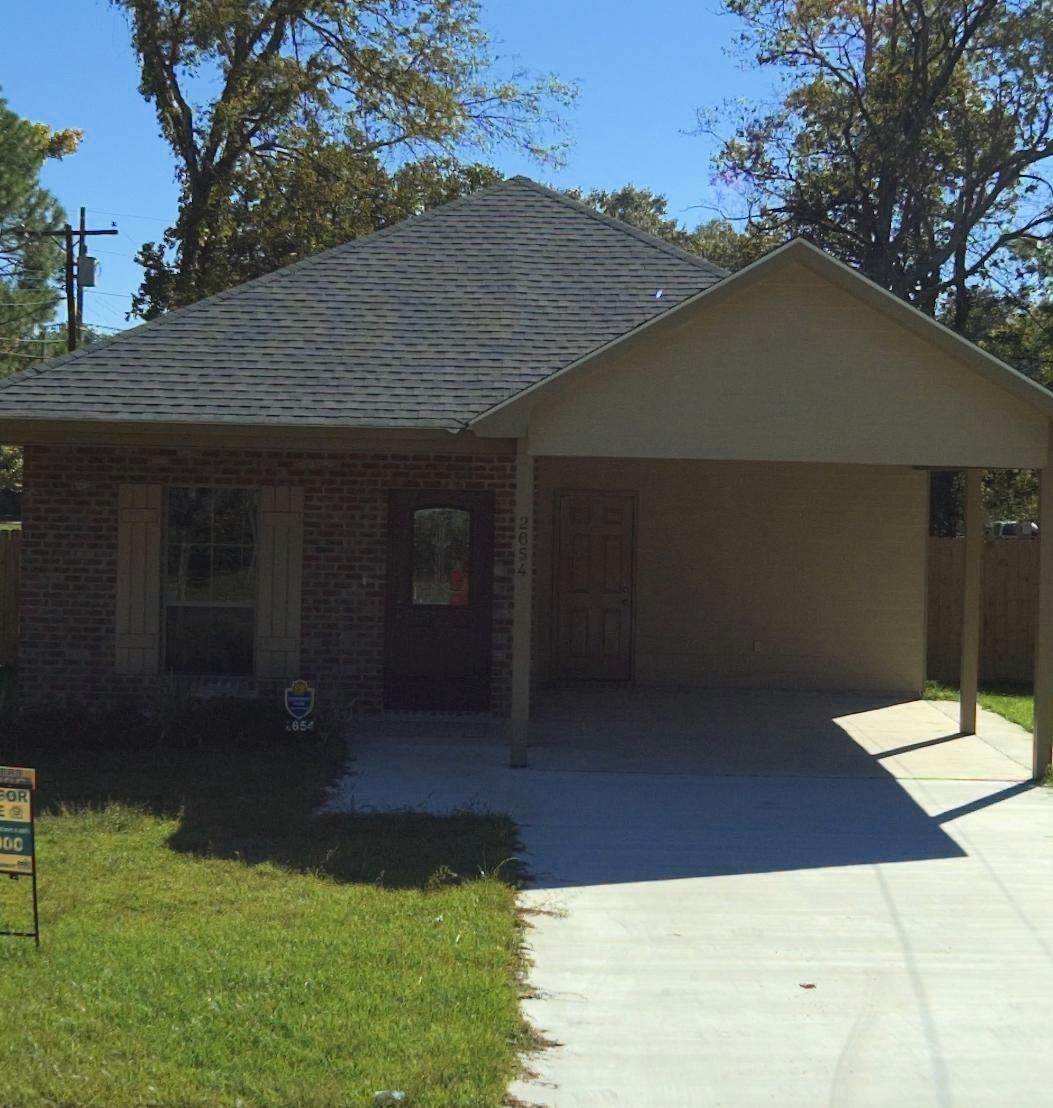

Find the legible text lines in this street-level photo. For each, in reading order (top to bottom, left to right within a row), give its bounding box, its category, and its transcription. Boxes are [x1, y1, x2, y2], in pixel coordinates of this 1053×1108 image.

[515, 514, 530, 579] StreetNumber: 2654
[282, 718, 317, 733] StreetNumber: **54
[3, 787, 30, 805] None: OR
[1, 833, 27, 855] None: 00